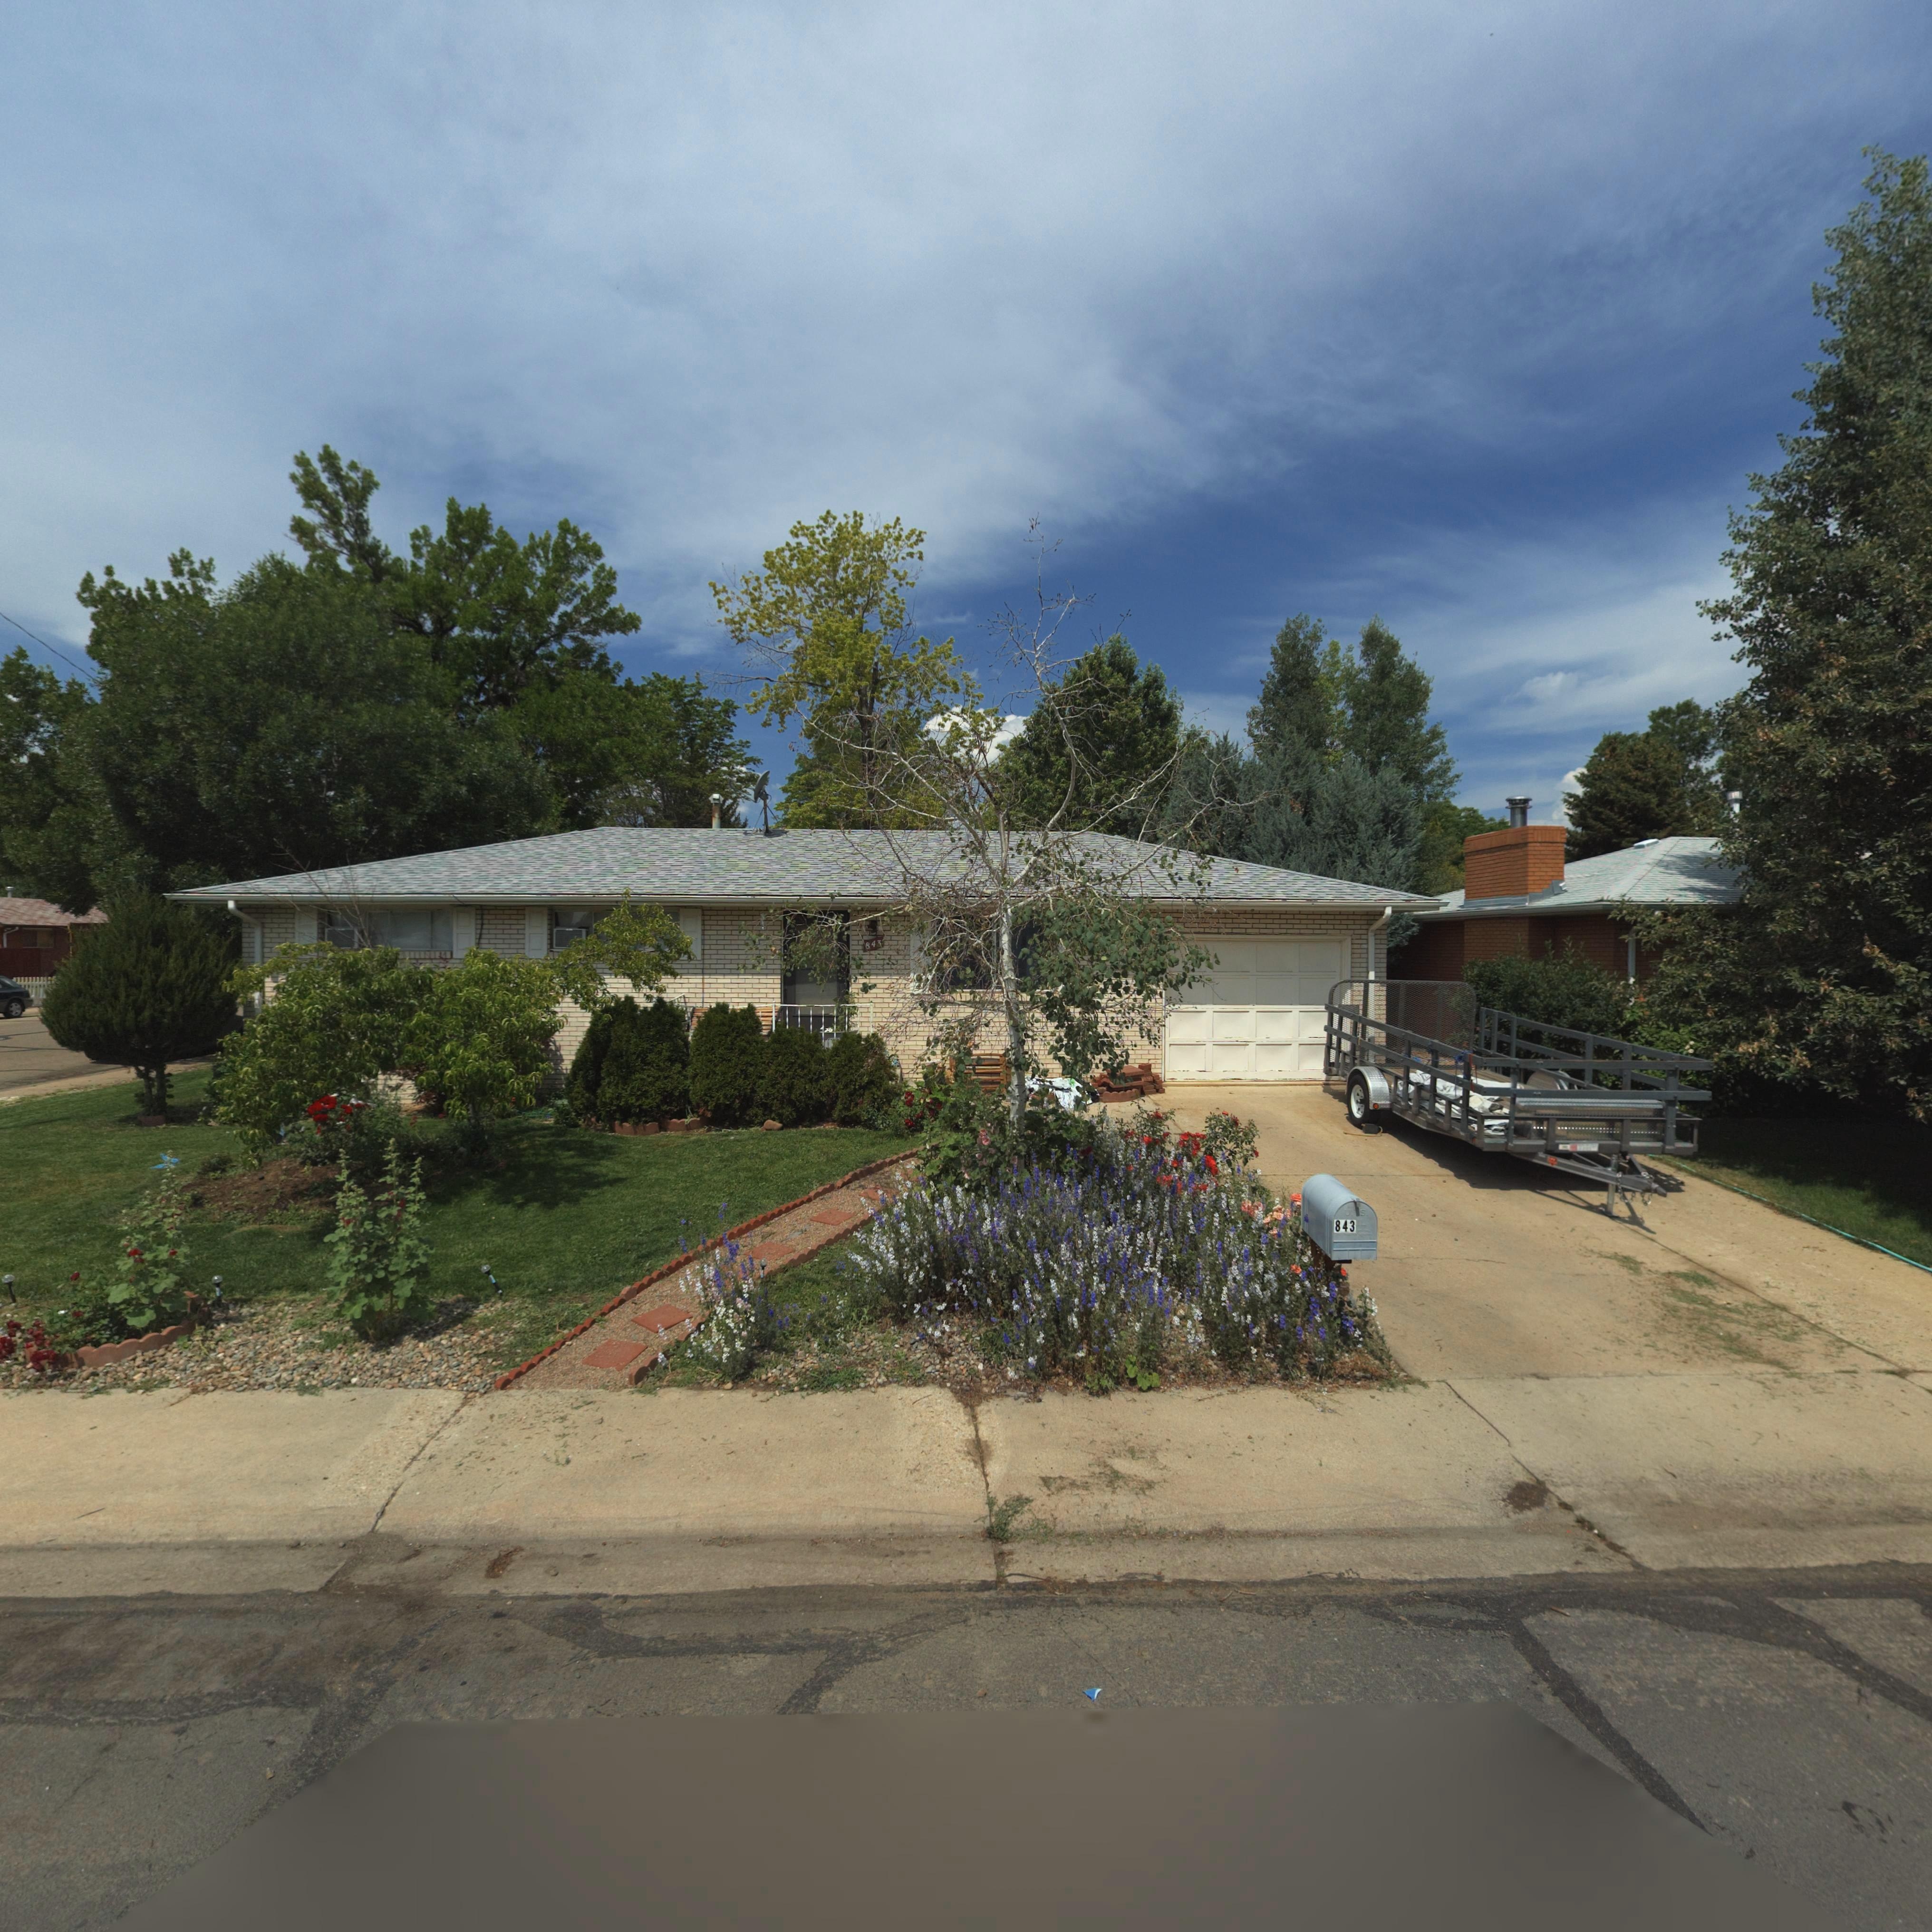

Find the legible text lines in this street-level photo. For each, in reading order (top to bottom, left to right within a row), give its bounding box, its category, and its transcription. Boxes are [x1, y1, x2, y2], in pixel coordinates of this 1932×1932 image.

[865, 939, 881, 949] StreetNumber: 843
[1334, 1219, 1355, 1232] StreetNumber: 843